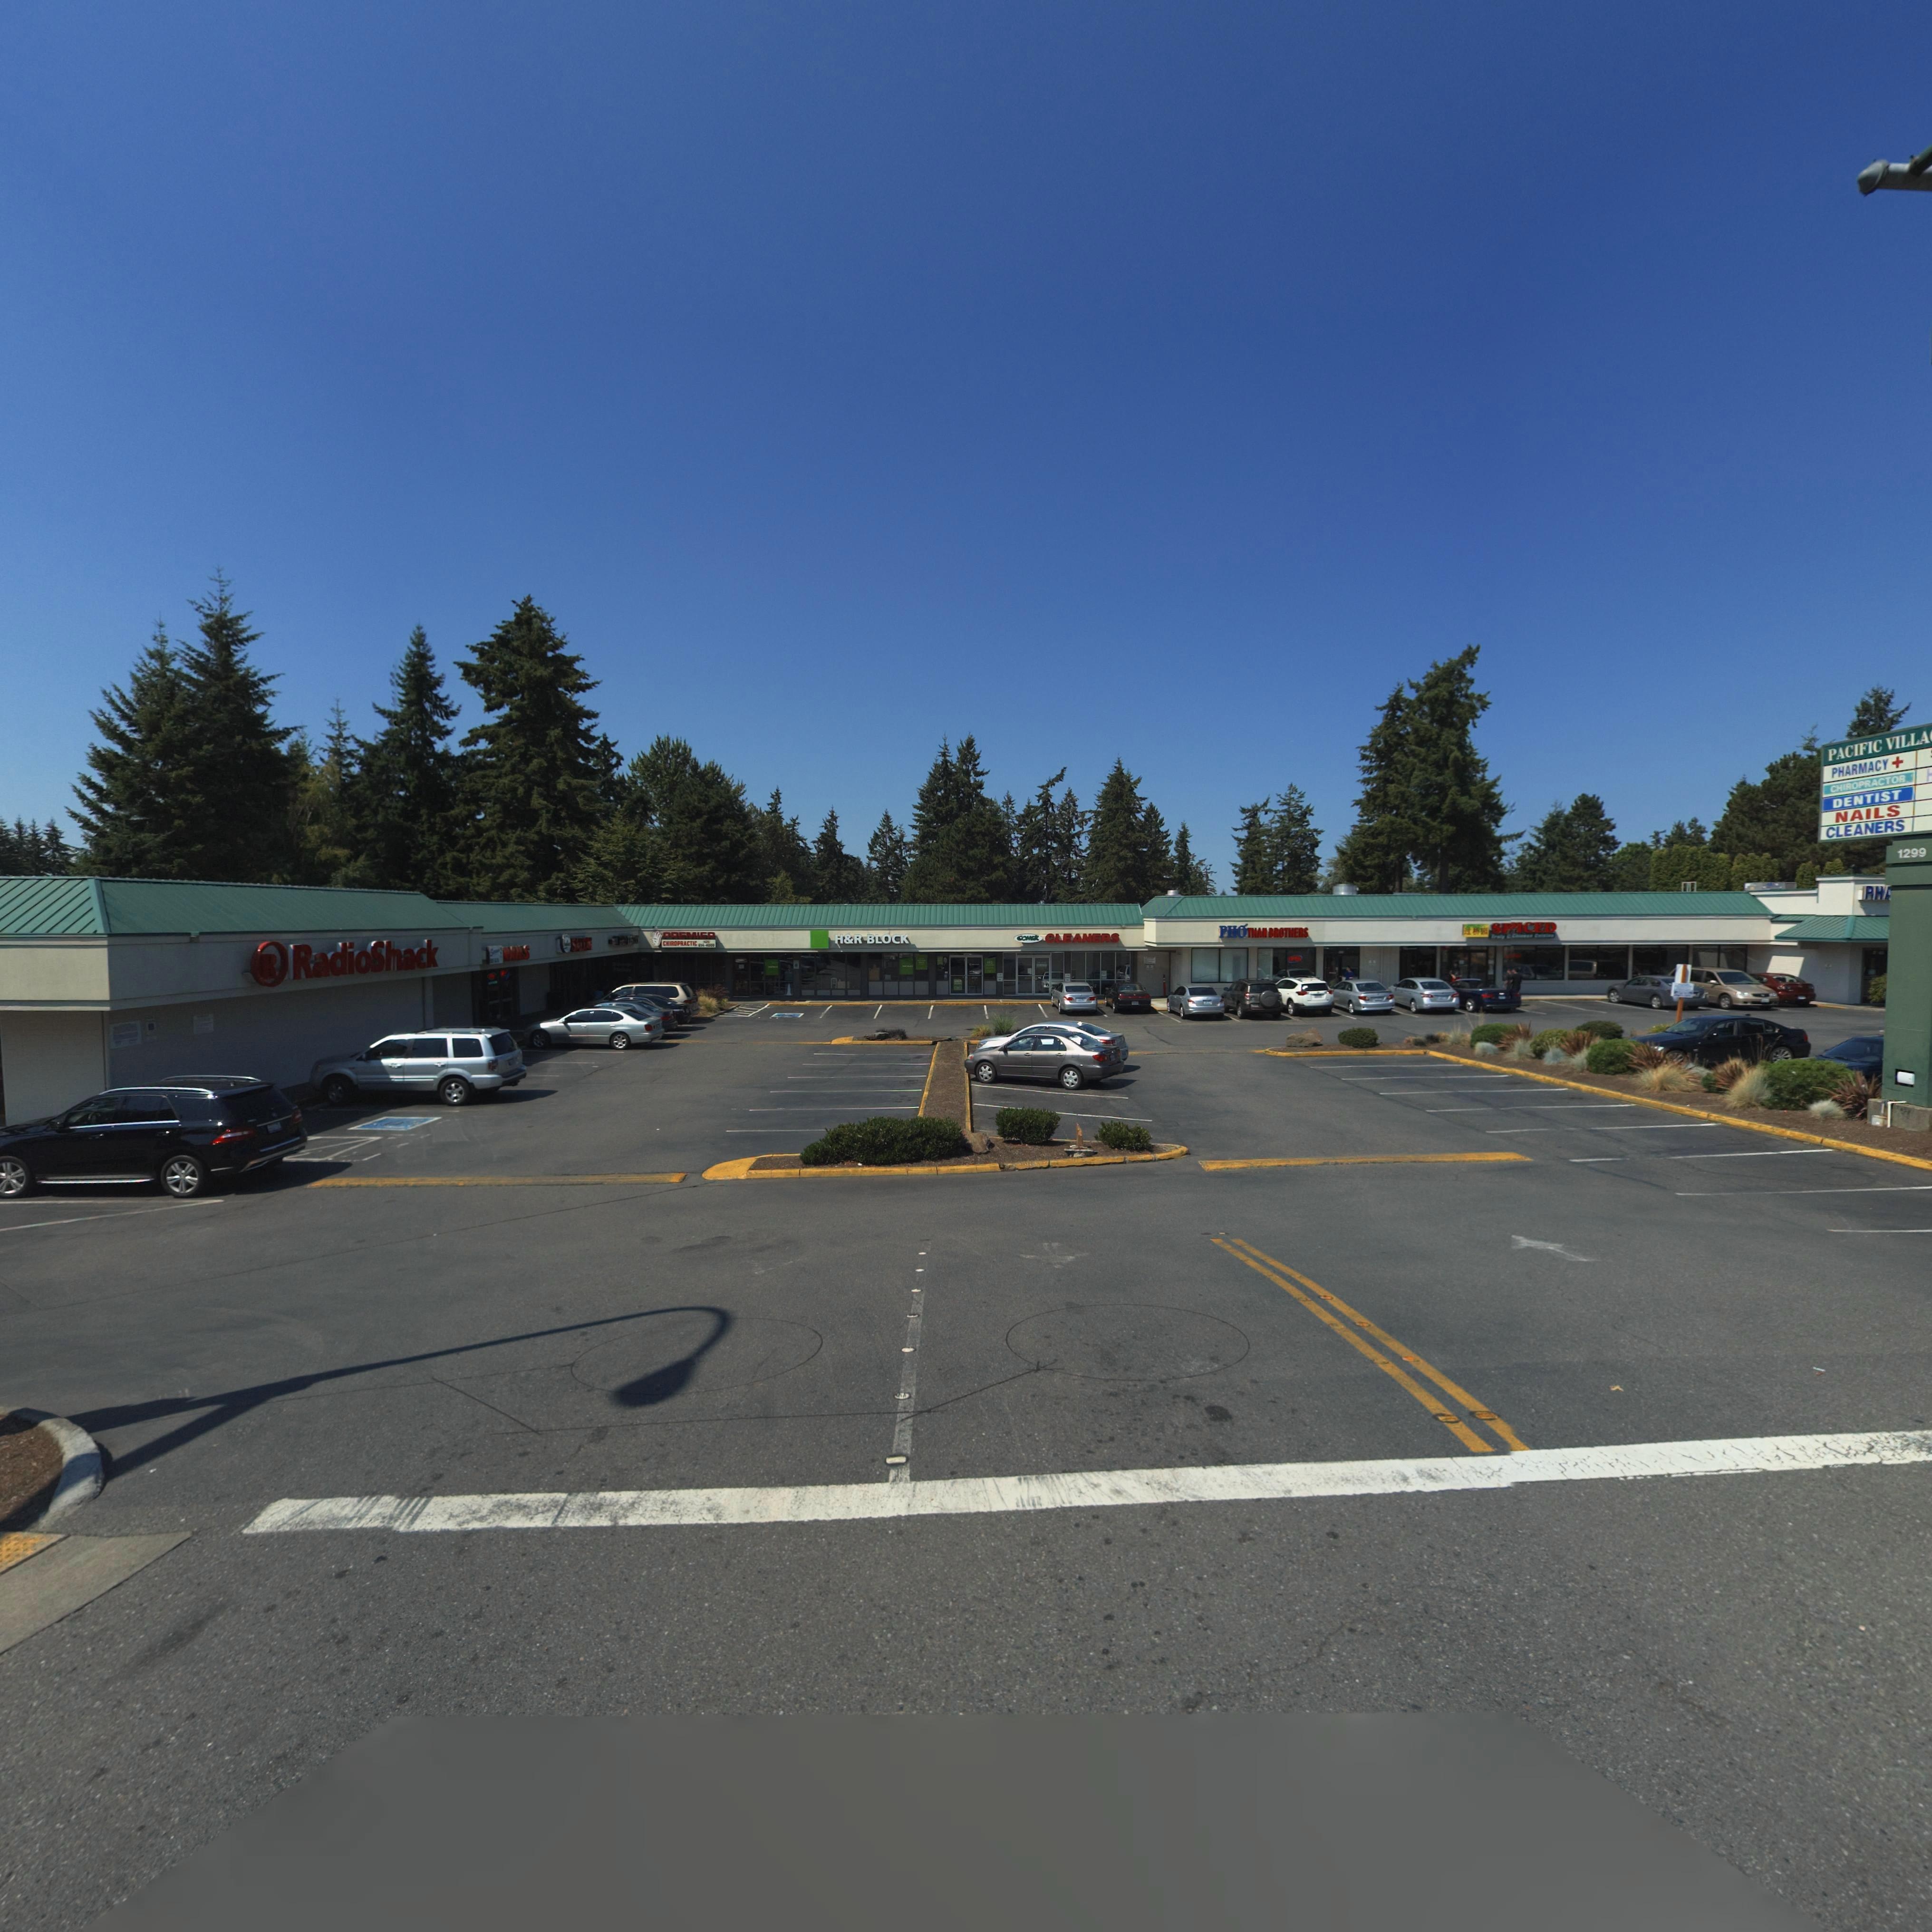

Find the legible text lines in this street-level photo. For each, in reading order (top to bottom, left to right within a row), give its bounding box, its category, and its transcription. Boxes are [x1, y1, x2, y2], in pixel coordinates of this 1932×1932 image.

[1827, 731, 1931, 761] SecondaryUnitDesignator: PACIFIC VILLA**
[1832, 758, 1889, 778] None: PHARMACY
[1830, 775, 1906, 792] BusinessName: CHIROPRACTOR
[1833, 789, 1902, 808] BusinessName: DENTIST
[1835, 805, 1900, 822] BusinessName: NAILS
[1826, 819, 1905, 838] None: CLEANERS
[1897, 847, 1926, 858] StreetNumber: 1299
[1865, 886, 1889, 900] BusinessName: PH*
[571, 937, 592, 952] BusinessName: SA***
[663, 941, 697, 946] BusinessName: CHIROPRACTIC
[663, 932, 715, 939] BusinessName: PREMIER
[834, 934, 909, 944] None: H*R BLOCK
[1016, 935, 1039, 940] BusinessName: comet
[1044, 933, 1120, 943] BusinessName: CLEANERS
[1218, 923, 1308, 938] BusinessName: PHO THAN BROTEHRS
[1512, 934, 1515, 937] BusinessName: C
[1490, 921, 1557, 934] BusinessName: SPICED
[1534, 934, 1538, 937] BusinessName: C
[287, 939, 439, 979] BusinessName: RadioShack
[504, 944, 530, 961] BusinessName: *AILS
[1287, 956, 1301, 962] None: OPEN